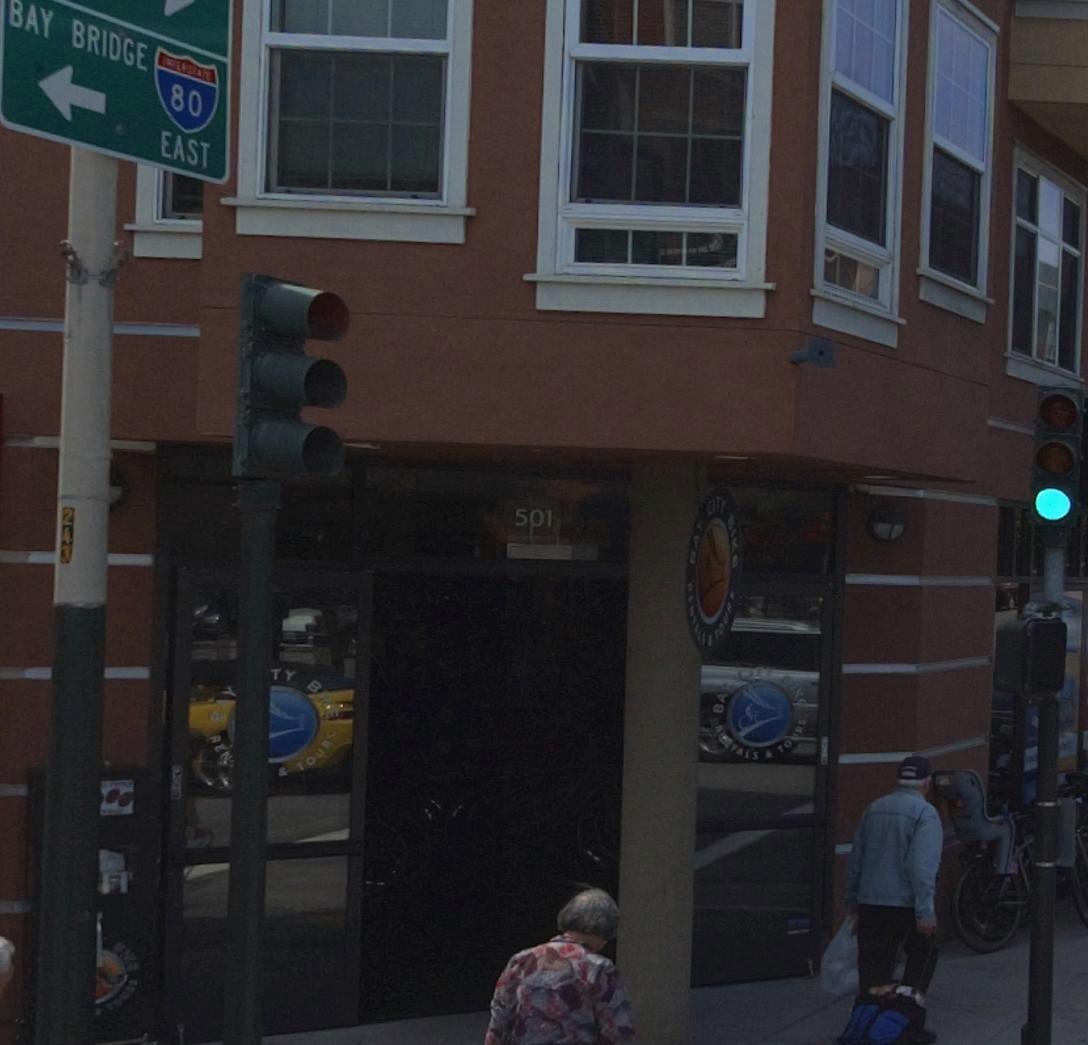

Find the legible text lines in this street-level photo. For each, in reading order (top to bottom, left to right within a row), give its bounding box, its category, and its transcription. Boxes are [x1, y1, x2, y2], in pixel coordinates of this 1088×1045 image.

[8, 0, 150, 75] None: BAY BRIDGE
[160, 54, 213, 82] None: INTERSTATE
[168, 79, 206, 120] None: 80
[159, 127, 212, 171] None: EAST
[61, 508, 73, 564] None: 243
[515, 507, 553, 529] StreetNumber: 501
[688, 494, 740, 569] BusinessName: BAY CITY BIKE
[685, 582, 735, 648] BusinessName: RENTALS & TOURS
[207, 667, 340, 723] BusinessName: BAY TY BIKE
[711, 661, 809, 714] BusinessName: BAY CITY BIKE
[208, 730, 339, 779] BusinessName: REN & TOURS\
[713, 718, 808, 762] BusinessName: RENTALS & TOURS
[110, 940, 146, 972] BusinessName: BIKE
[93, 978, 139, 1019] BusinessName: TOURS